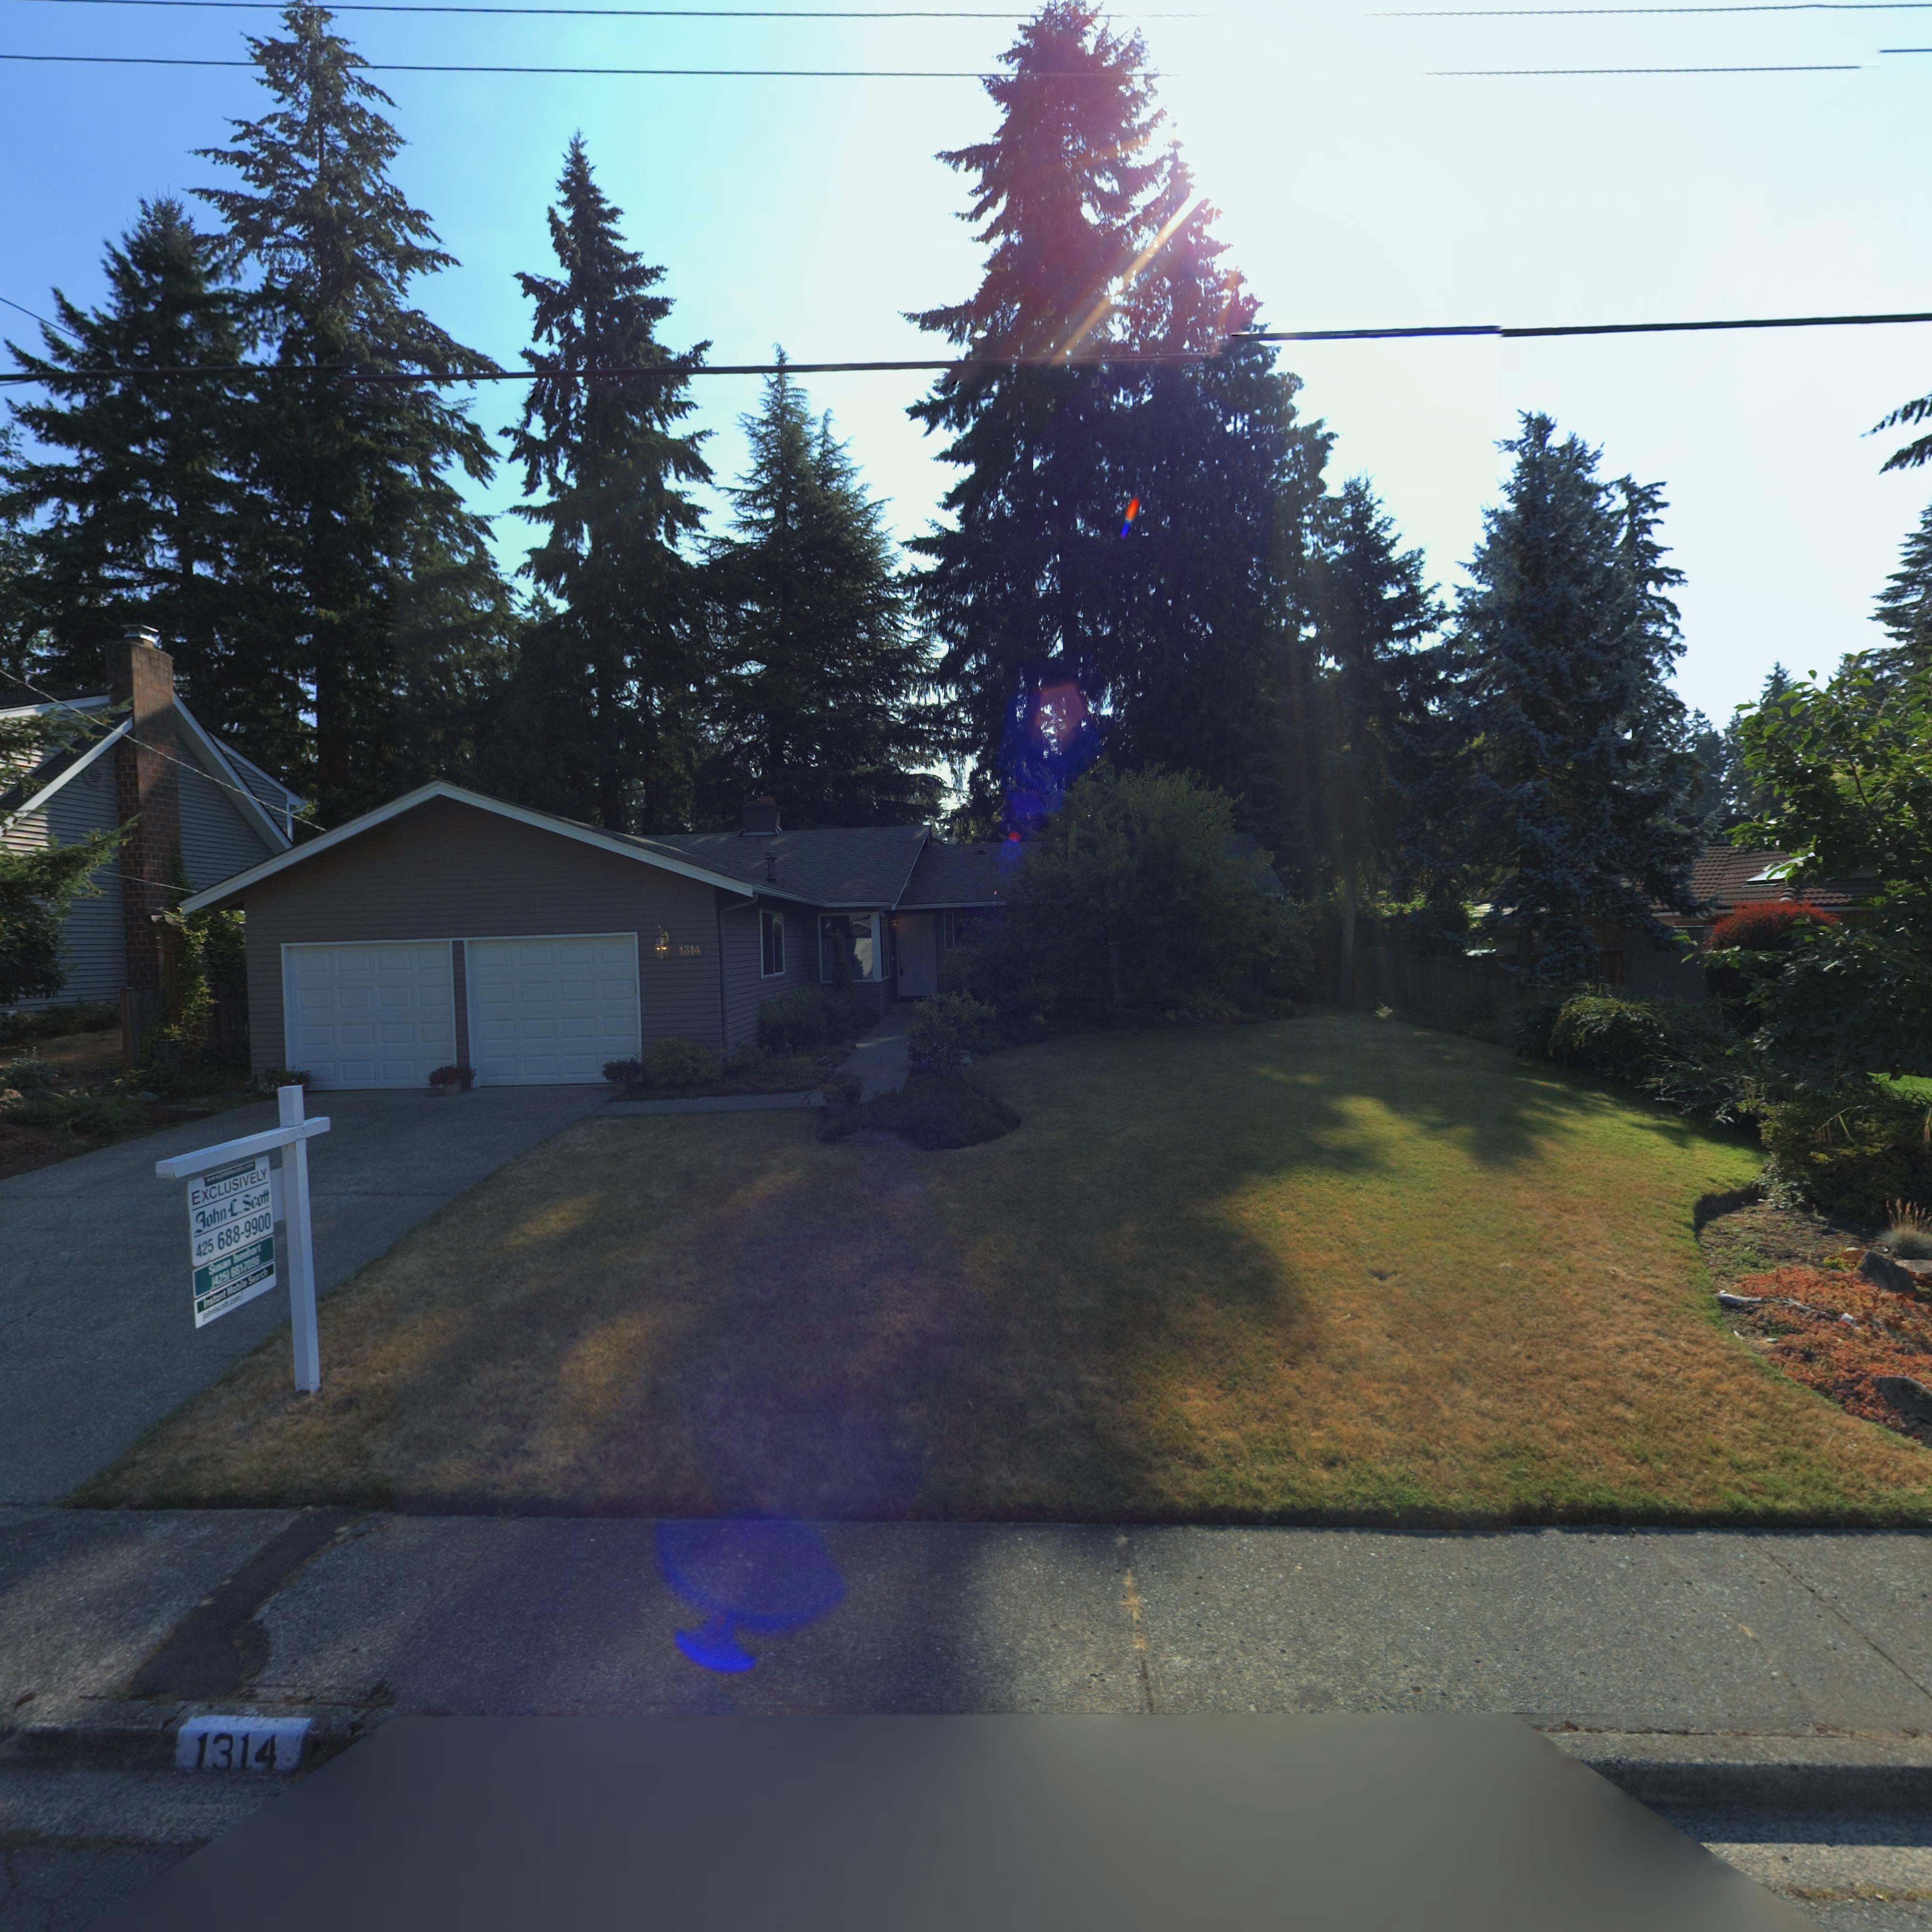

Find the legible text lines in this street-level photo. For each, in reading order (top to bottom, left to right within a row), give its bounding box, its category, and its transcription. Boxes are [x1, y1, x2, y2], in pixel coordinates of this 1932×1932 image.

[678, 945, 702, 954] StreetNumber: 1314
[192, 1730, 280, 1772] StreetNumber: 1314